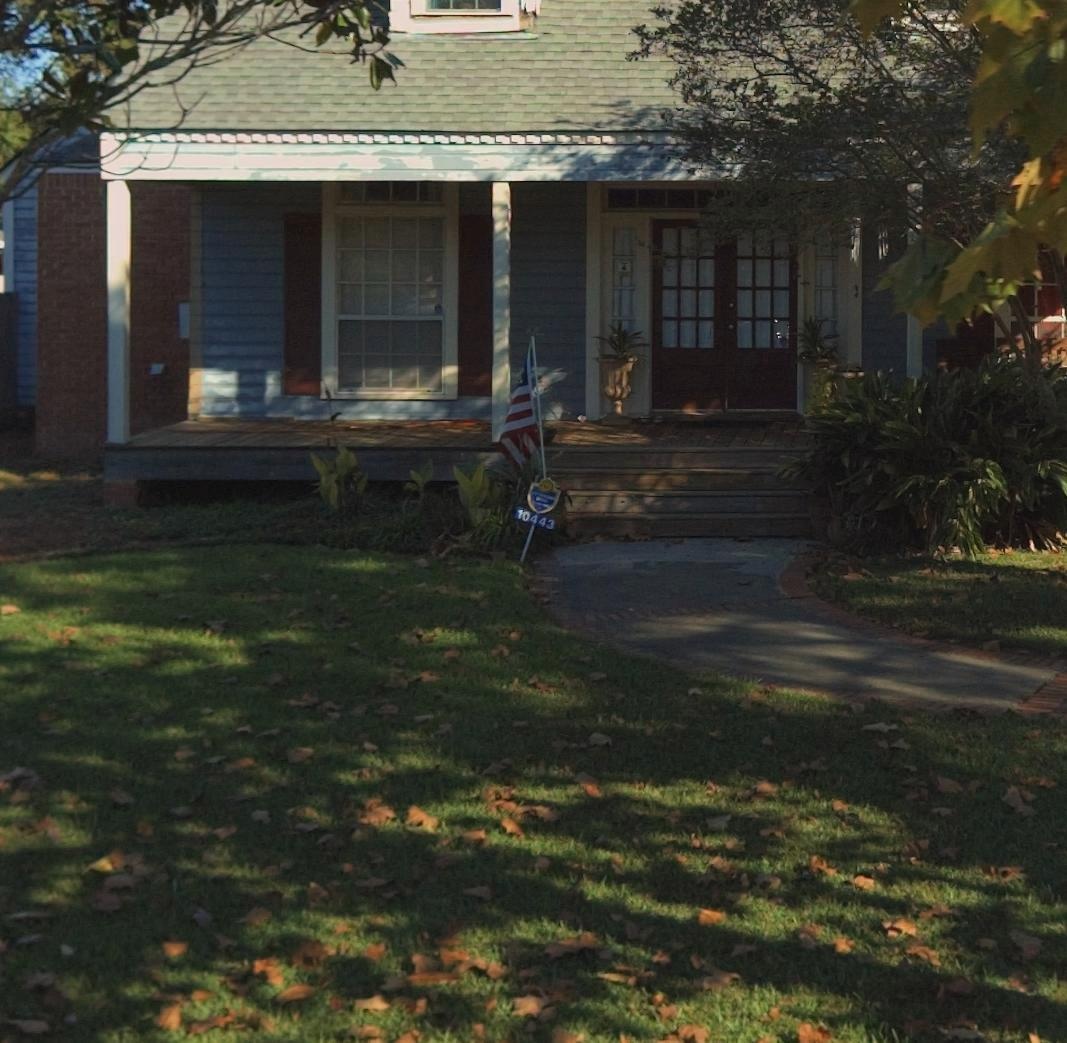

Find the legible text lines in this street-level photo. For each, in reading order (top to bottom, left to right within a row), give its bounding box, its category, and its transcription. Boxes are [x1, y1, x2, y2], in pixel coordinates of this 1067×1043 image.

[513, 504, 558, 533] StreetNumber: 10443